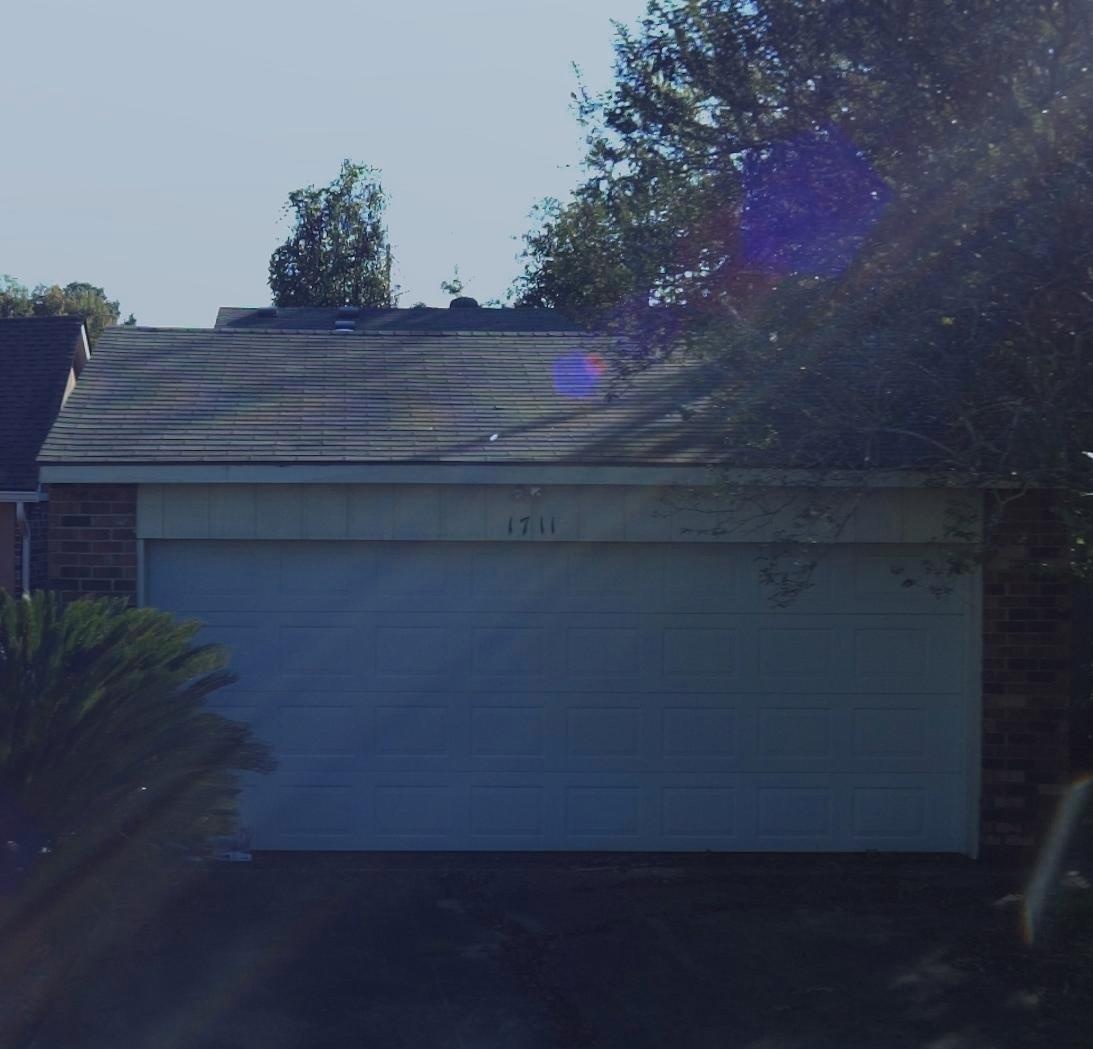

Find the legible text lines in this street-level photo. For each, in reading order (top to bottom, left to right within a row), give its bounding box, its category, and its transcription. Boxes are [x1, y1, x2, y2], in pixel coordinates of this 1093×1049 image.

[506, 513, 558, 538] StreetNumber: 1711